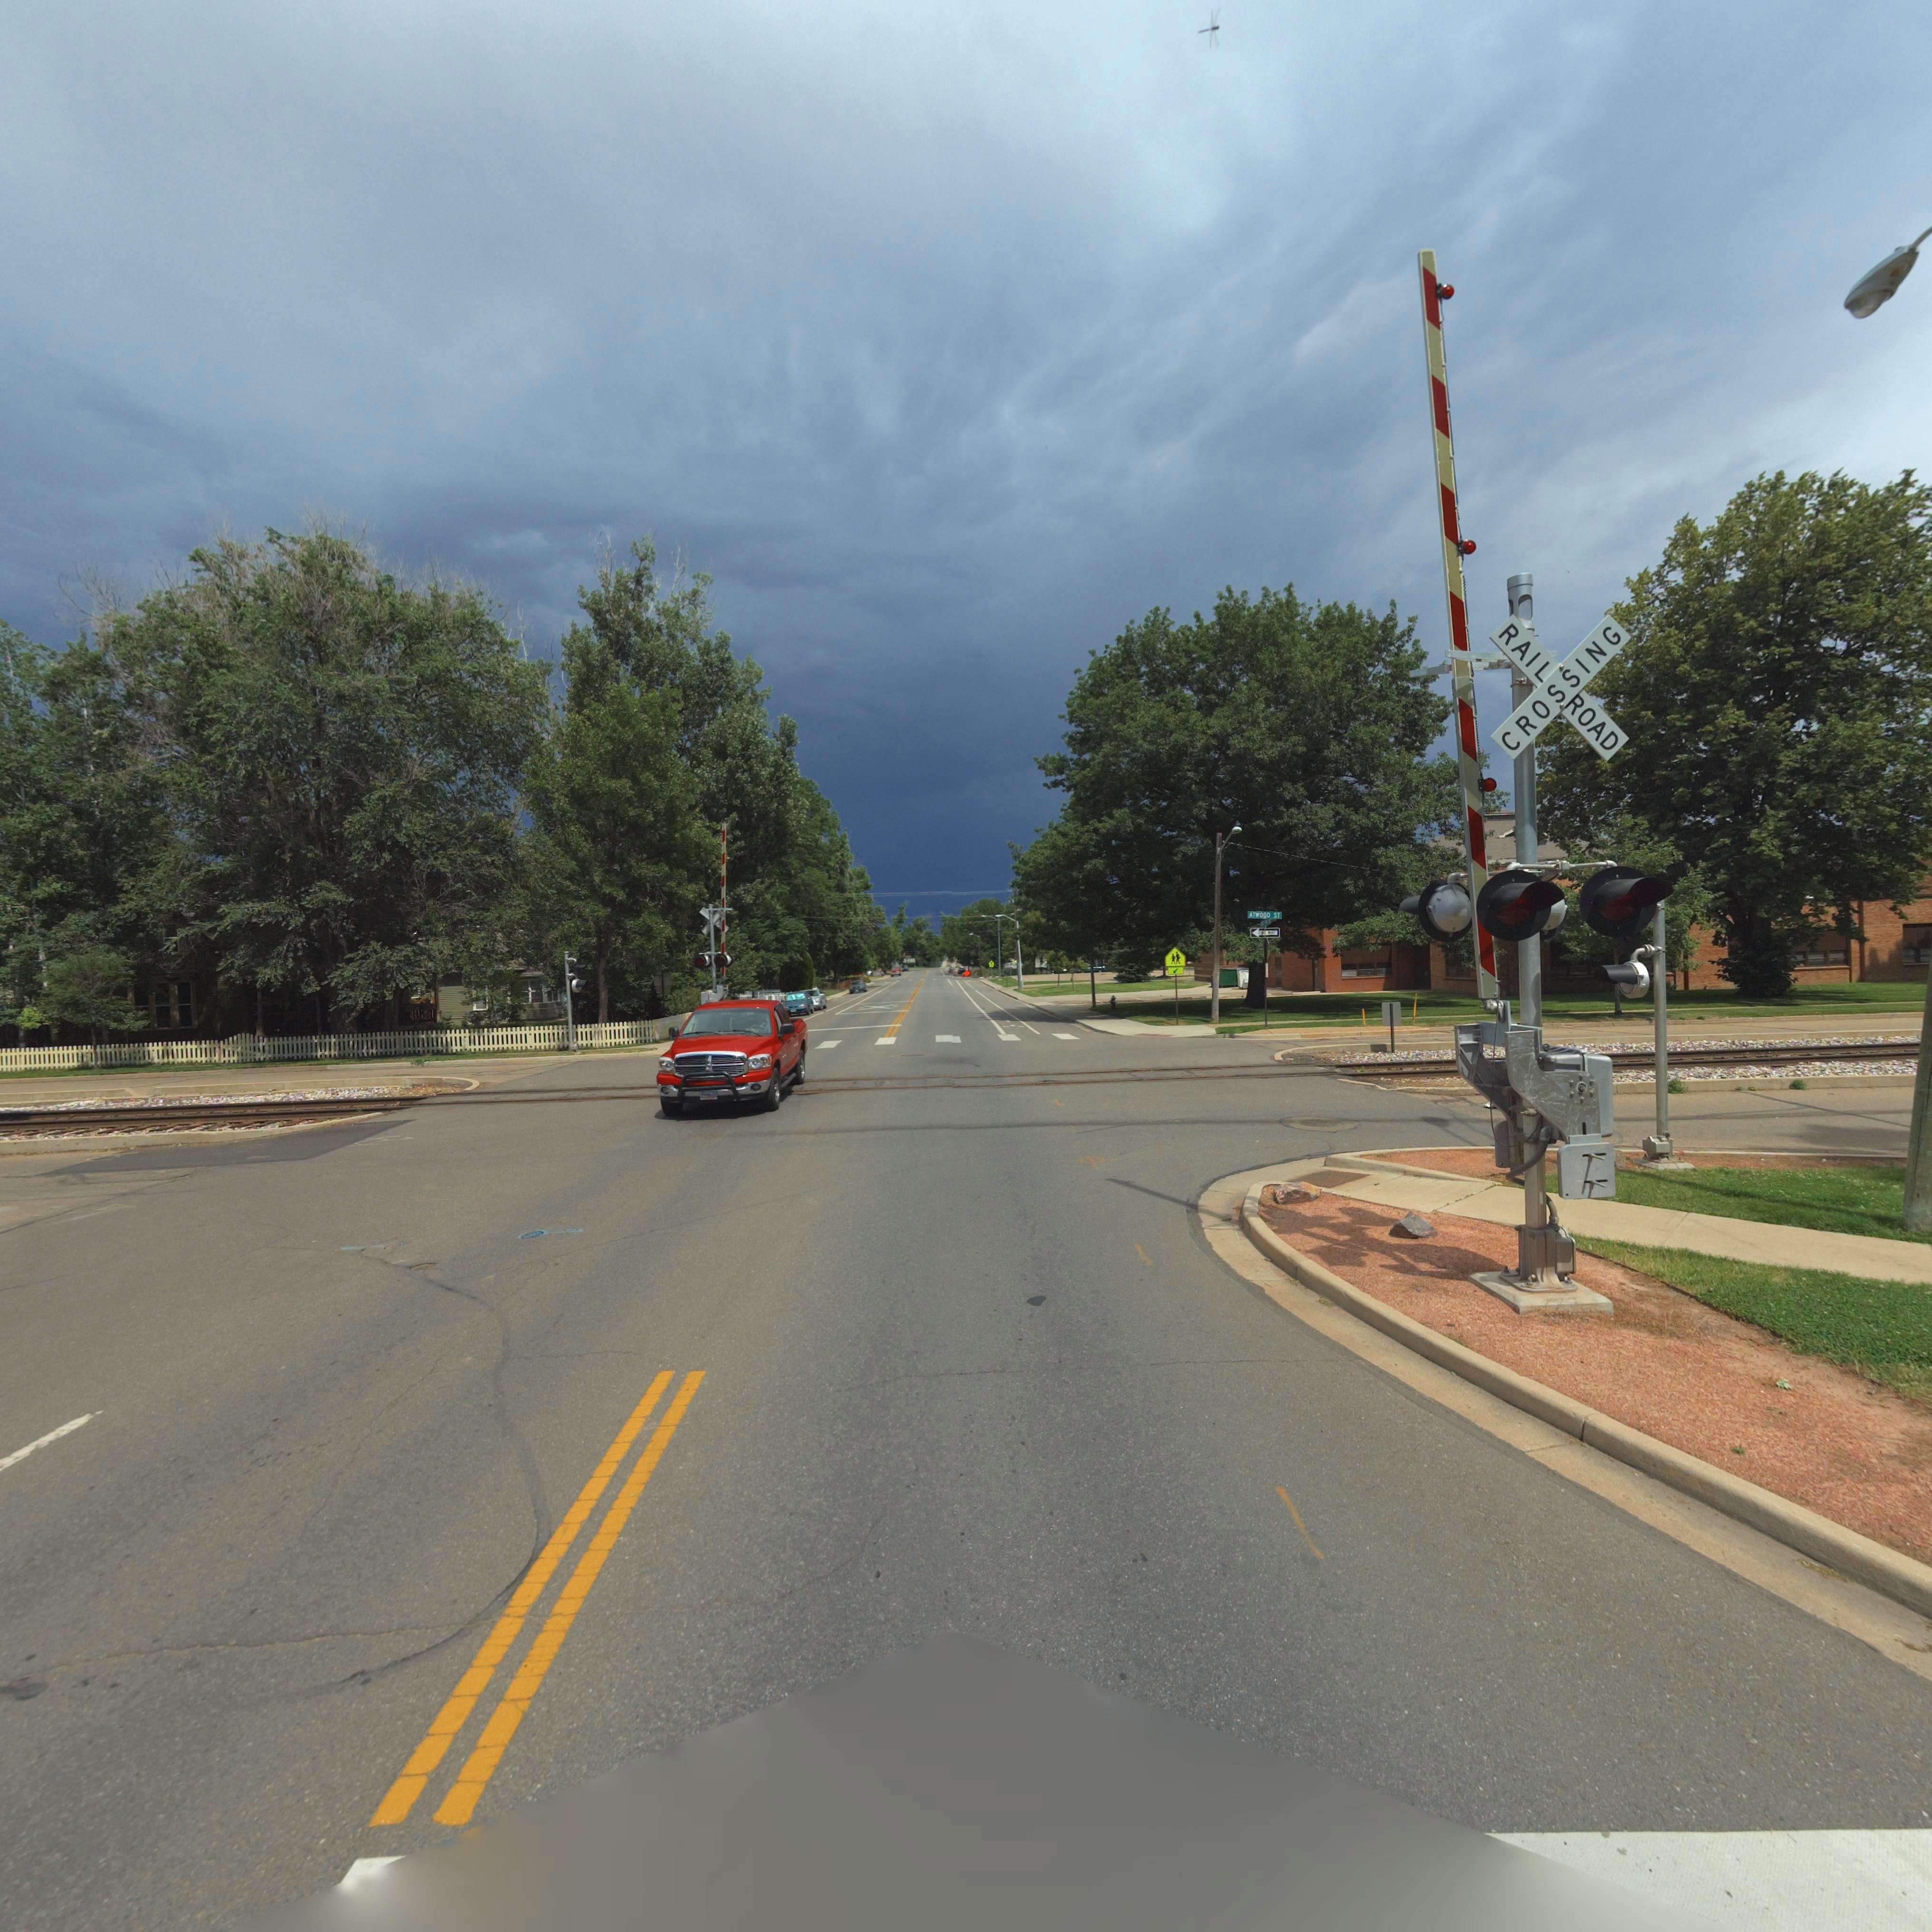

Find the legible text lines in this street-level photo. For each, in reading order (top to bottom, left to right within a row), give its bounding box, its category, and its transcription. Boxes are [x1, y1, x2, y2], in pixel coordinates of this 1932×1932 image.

[1248, 912, 1281, 918] StreetNumber: ATWOOD ST